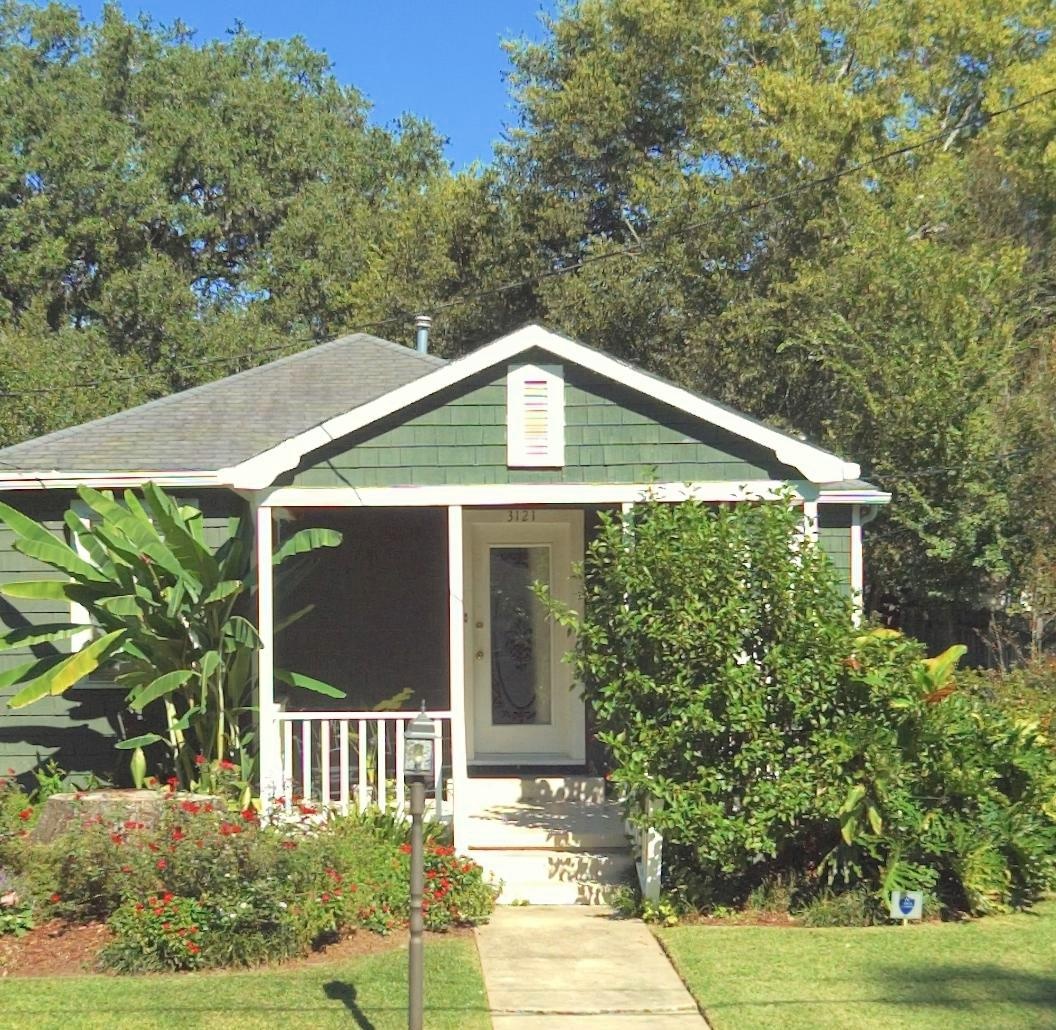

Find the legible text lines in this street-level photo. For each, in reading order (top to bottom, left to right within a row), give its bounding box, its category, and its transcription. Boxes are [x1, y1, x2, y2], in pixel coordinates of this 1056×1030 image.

[505, 508, 537, 524] StreetNumber: 3121